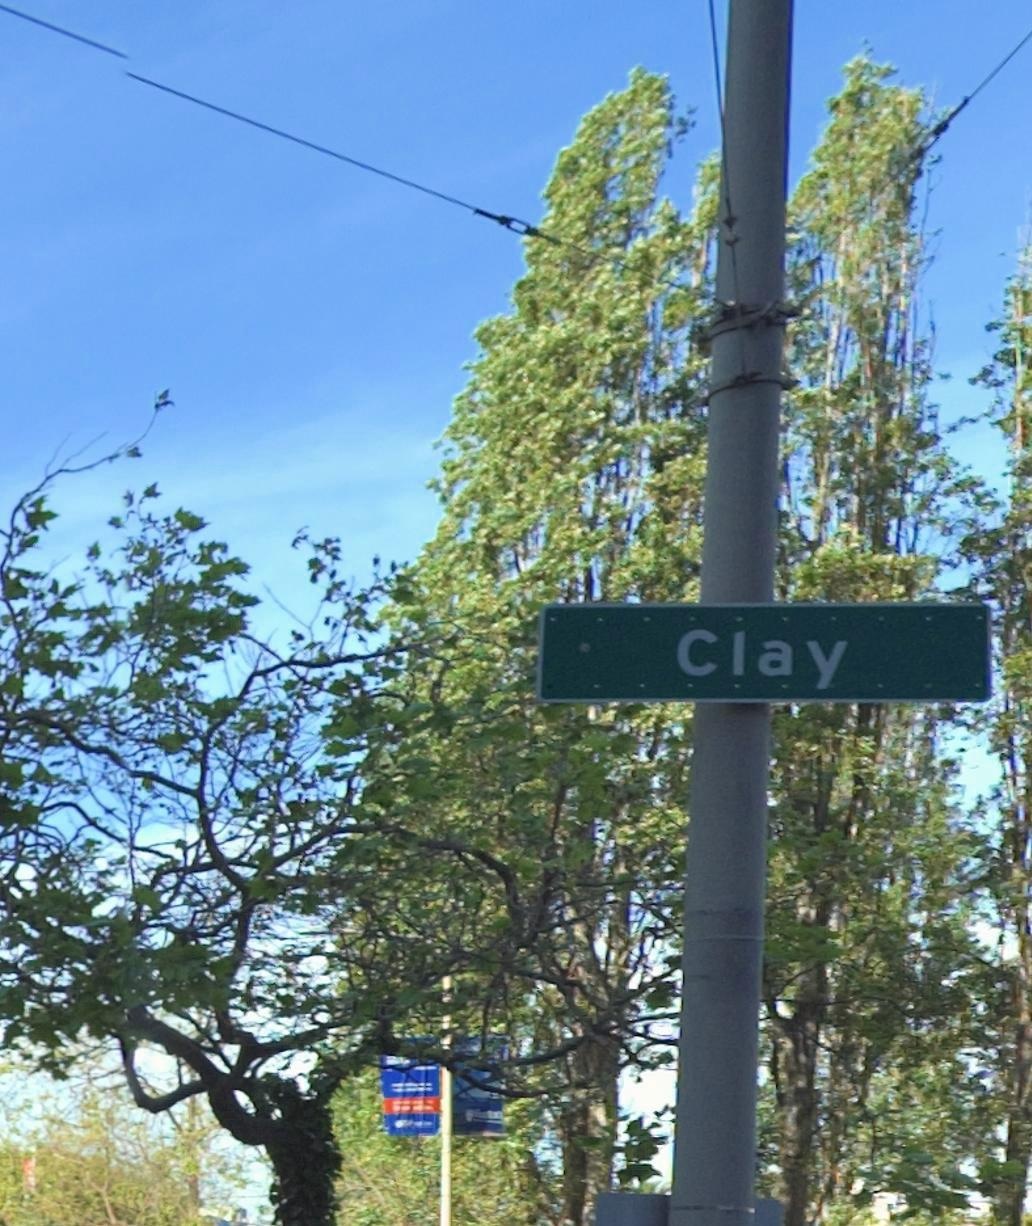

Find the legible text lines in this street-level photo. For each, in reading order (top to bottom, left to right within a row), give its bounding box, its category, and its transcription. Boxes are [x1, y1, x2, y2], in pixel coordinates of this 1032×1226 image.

[672, 627, 856, 693] StreetName: Clay